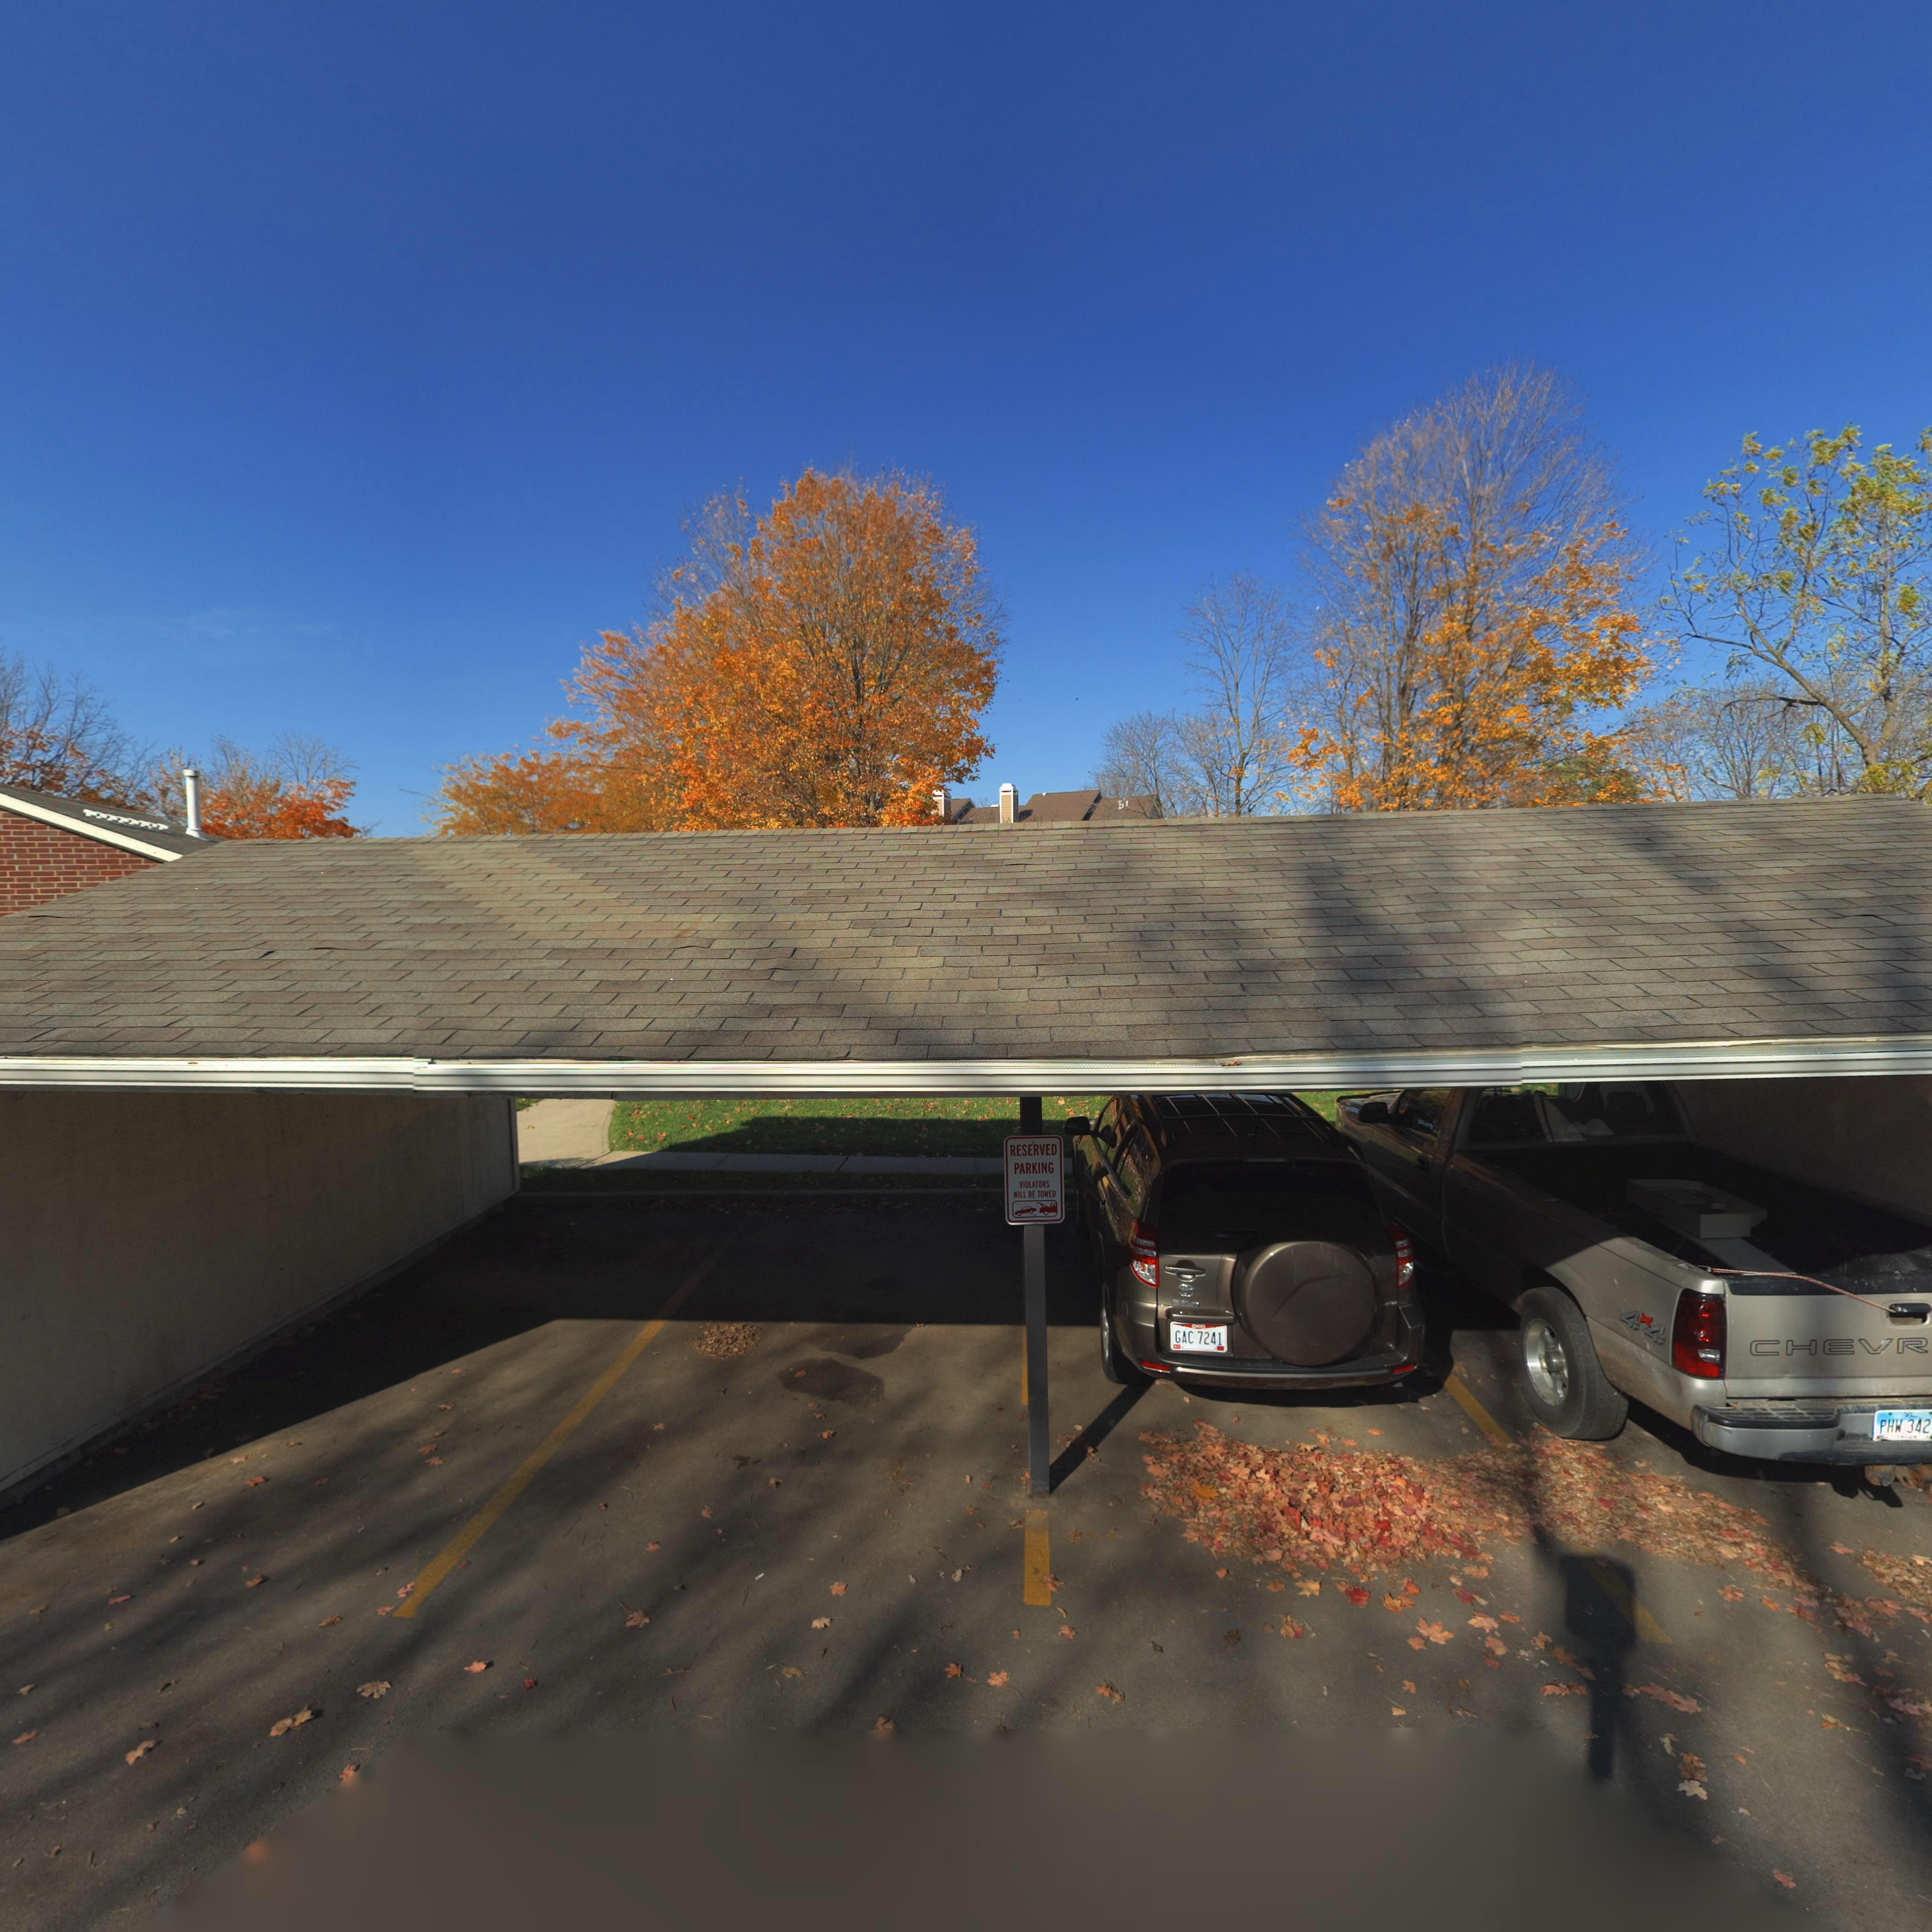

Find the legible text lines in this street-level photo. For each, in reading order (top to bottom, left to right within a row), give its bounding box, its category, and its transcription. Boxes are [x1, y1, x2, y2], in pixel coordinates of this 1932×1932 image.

[1009, 1142, 1058, 1157] None: RESERVED
[1014, 1160, 1055, 1175] None: PARKING
[1018, 1179, 1051, 1189] None: VIOLATORS
[1012, 1189, 1057, 1199] None: WILL BE TOWED
[1190, 1323, 1207, 1330] None: O**O
[1618, 1309, 1666, 1347] None: 4x4
[1174, 1329, 1223, 1346] None: GAC 7241
[1748, 1336, 1930, 1357] None: CHEVR
[1878, 1417, 1932, 1435] None: PHW 342